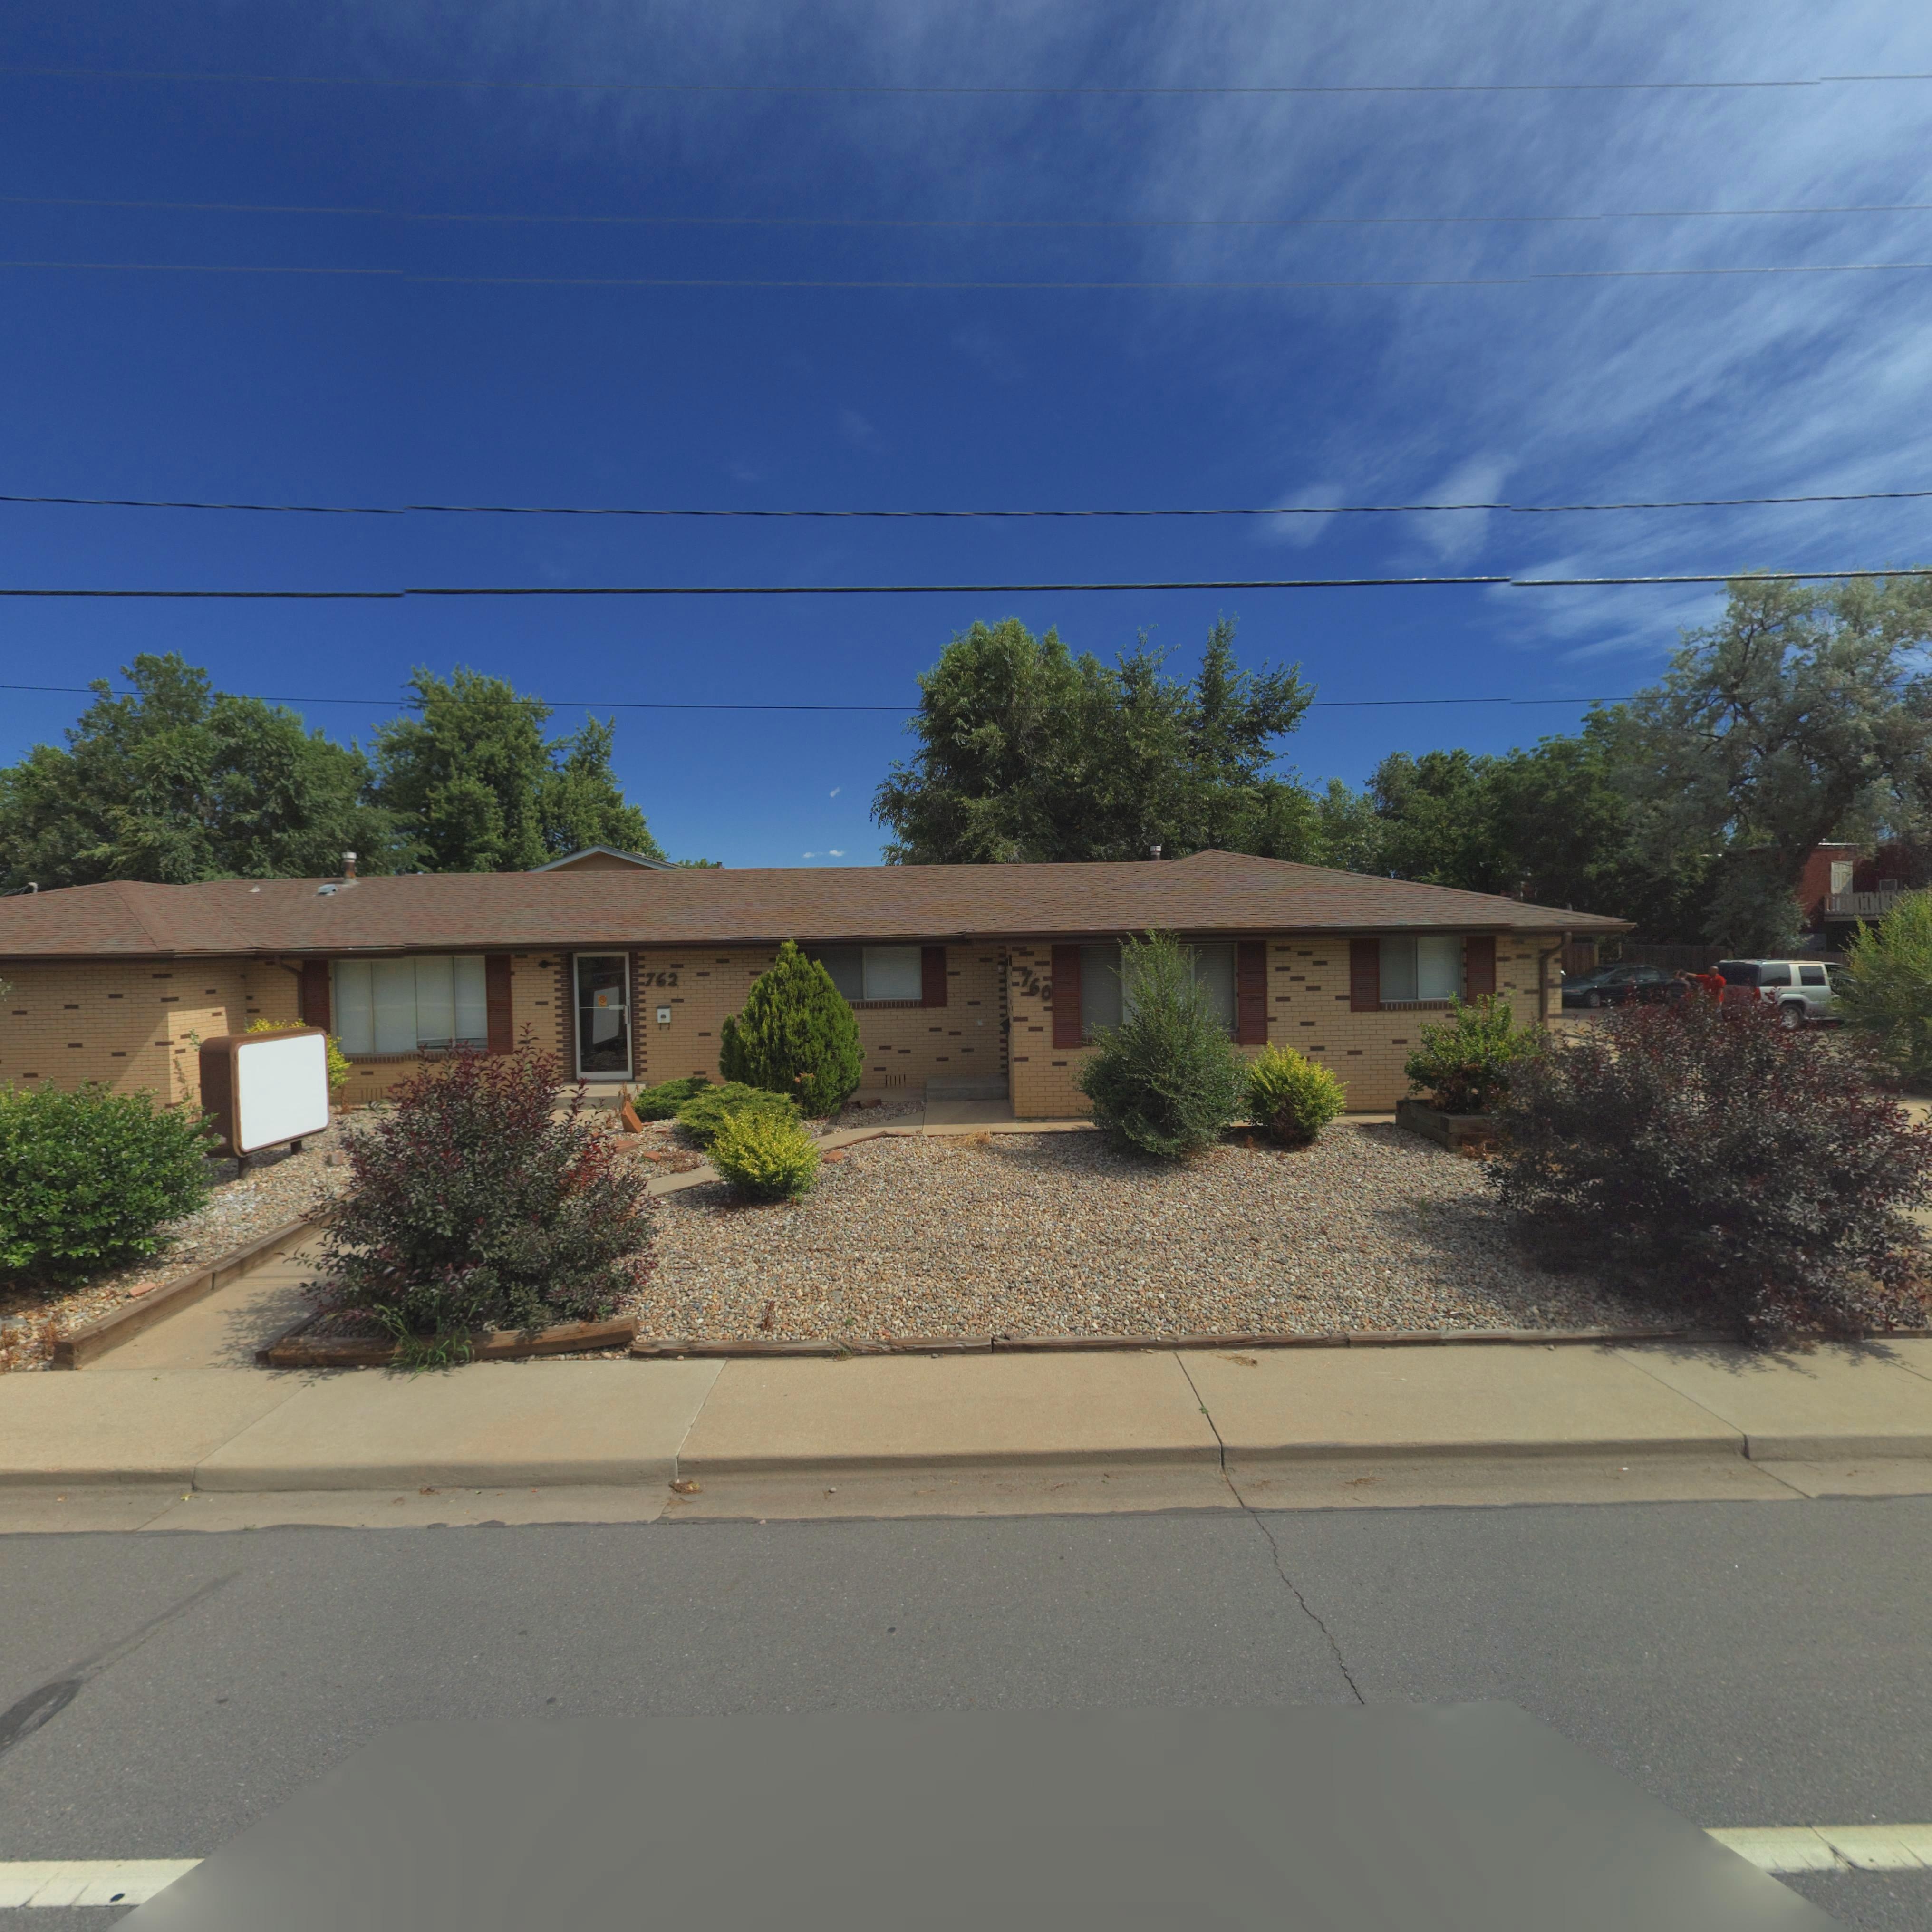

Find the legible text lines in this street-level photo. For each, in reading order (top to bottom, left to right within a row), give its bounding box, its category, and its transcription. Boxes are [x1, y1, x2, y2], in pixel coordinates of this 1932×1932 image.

[644, 972, 677, 987] StreetNumber: 762
[1021, 969, 1053, 1001] StreetNumber: 760